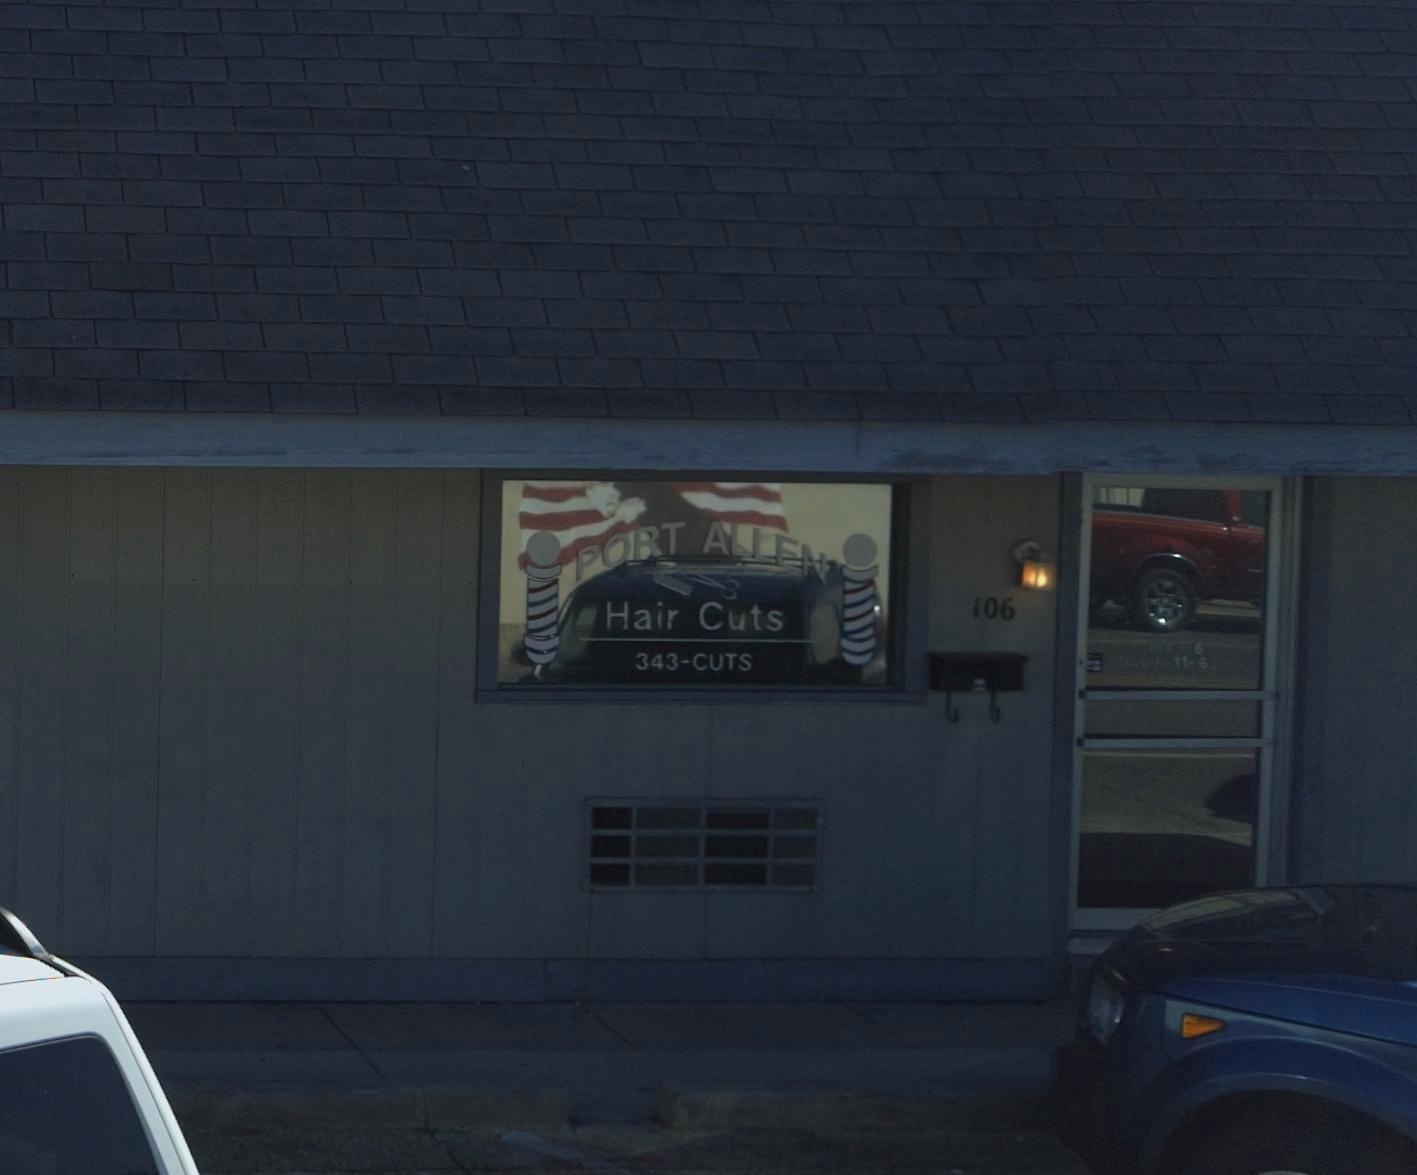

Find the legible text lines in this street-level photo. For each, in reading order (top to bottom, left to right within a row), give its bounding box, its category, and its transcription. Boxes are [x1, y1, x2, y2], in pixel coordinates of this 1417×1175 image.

[574, 519, 830, 584] BusinessName: PORT ALLEN
[605, 599, 786, 633] BusinessName: Hair Cuts
[970, 595, 1017, 622] StreetNumber: 106
[634, 651, 753, 673] None: 343-CUTS
[1173, 654, 1209, 672] None: 11-6
[1192, 641, 1206, 656] None: 6